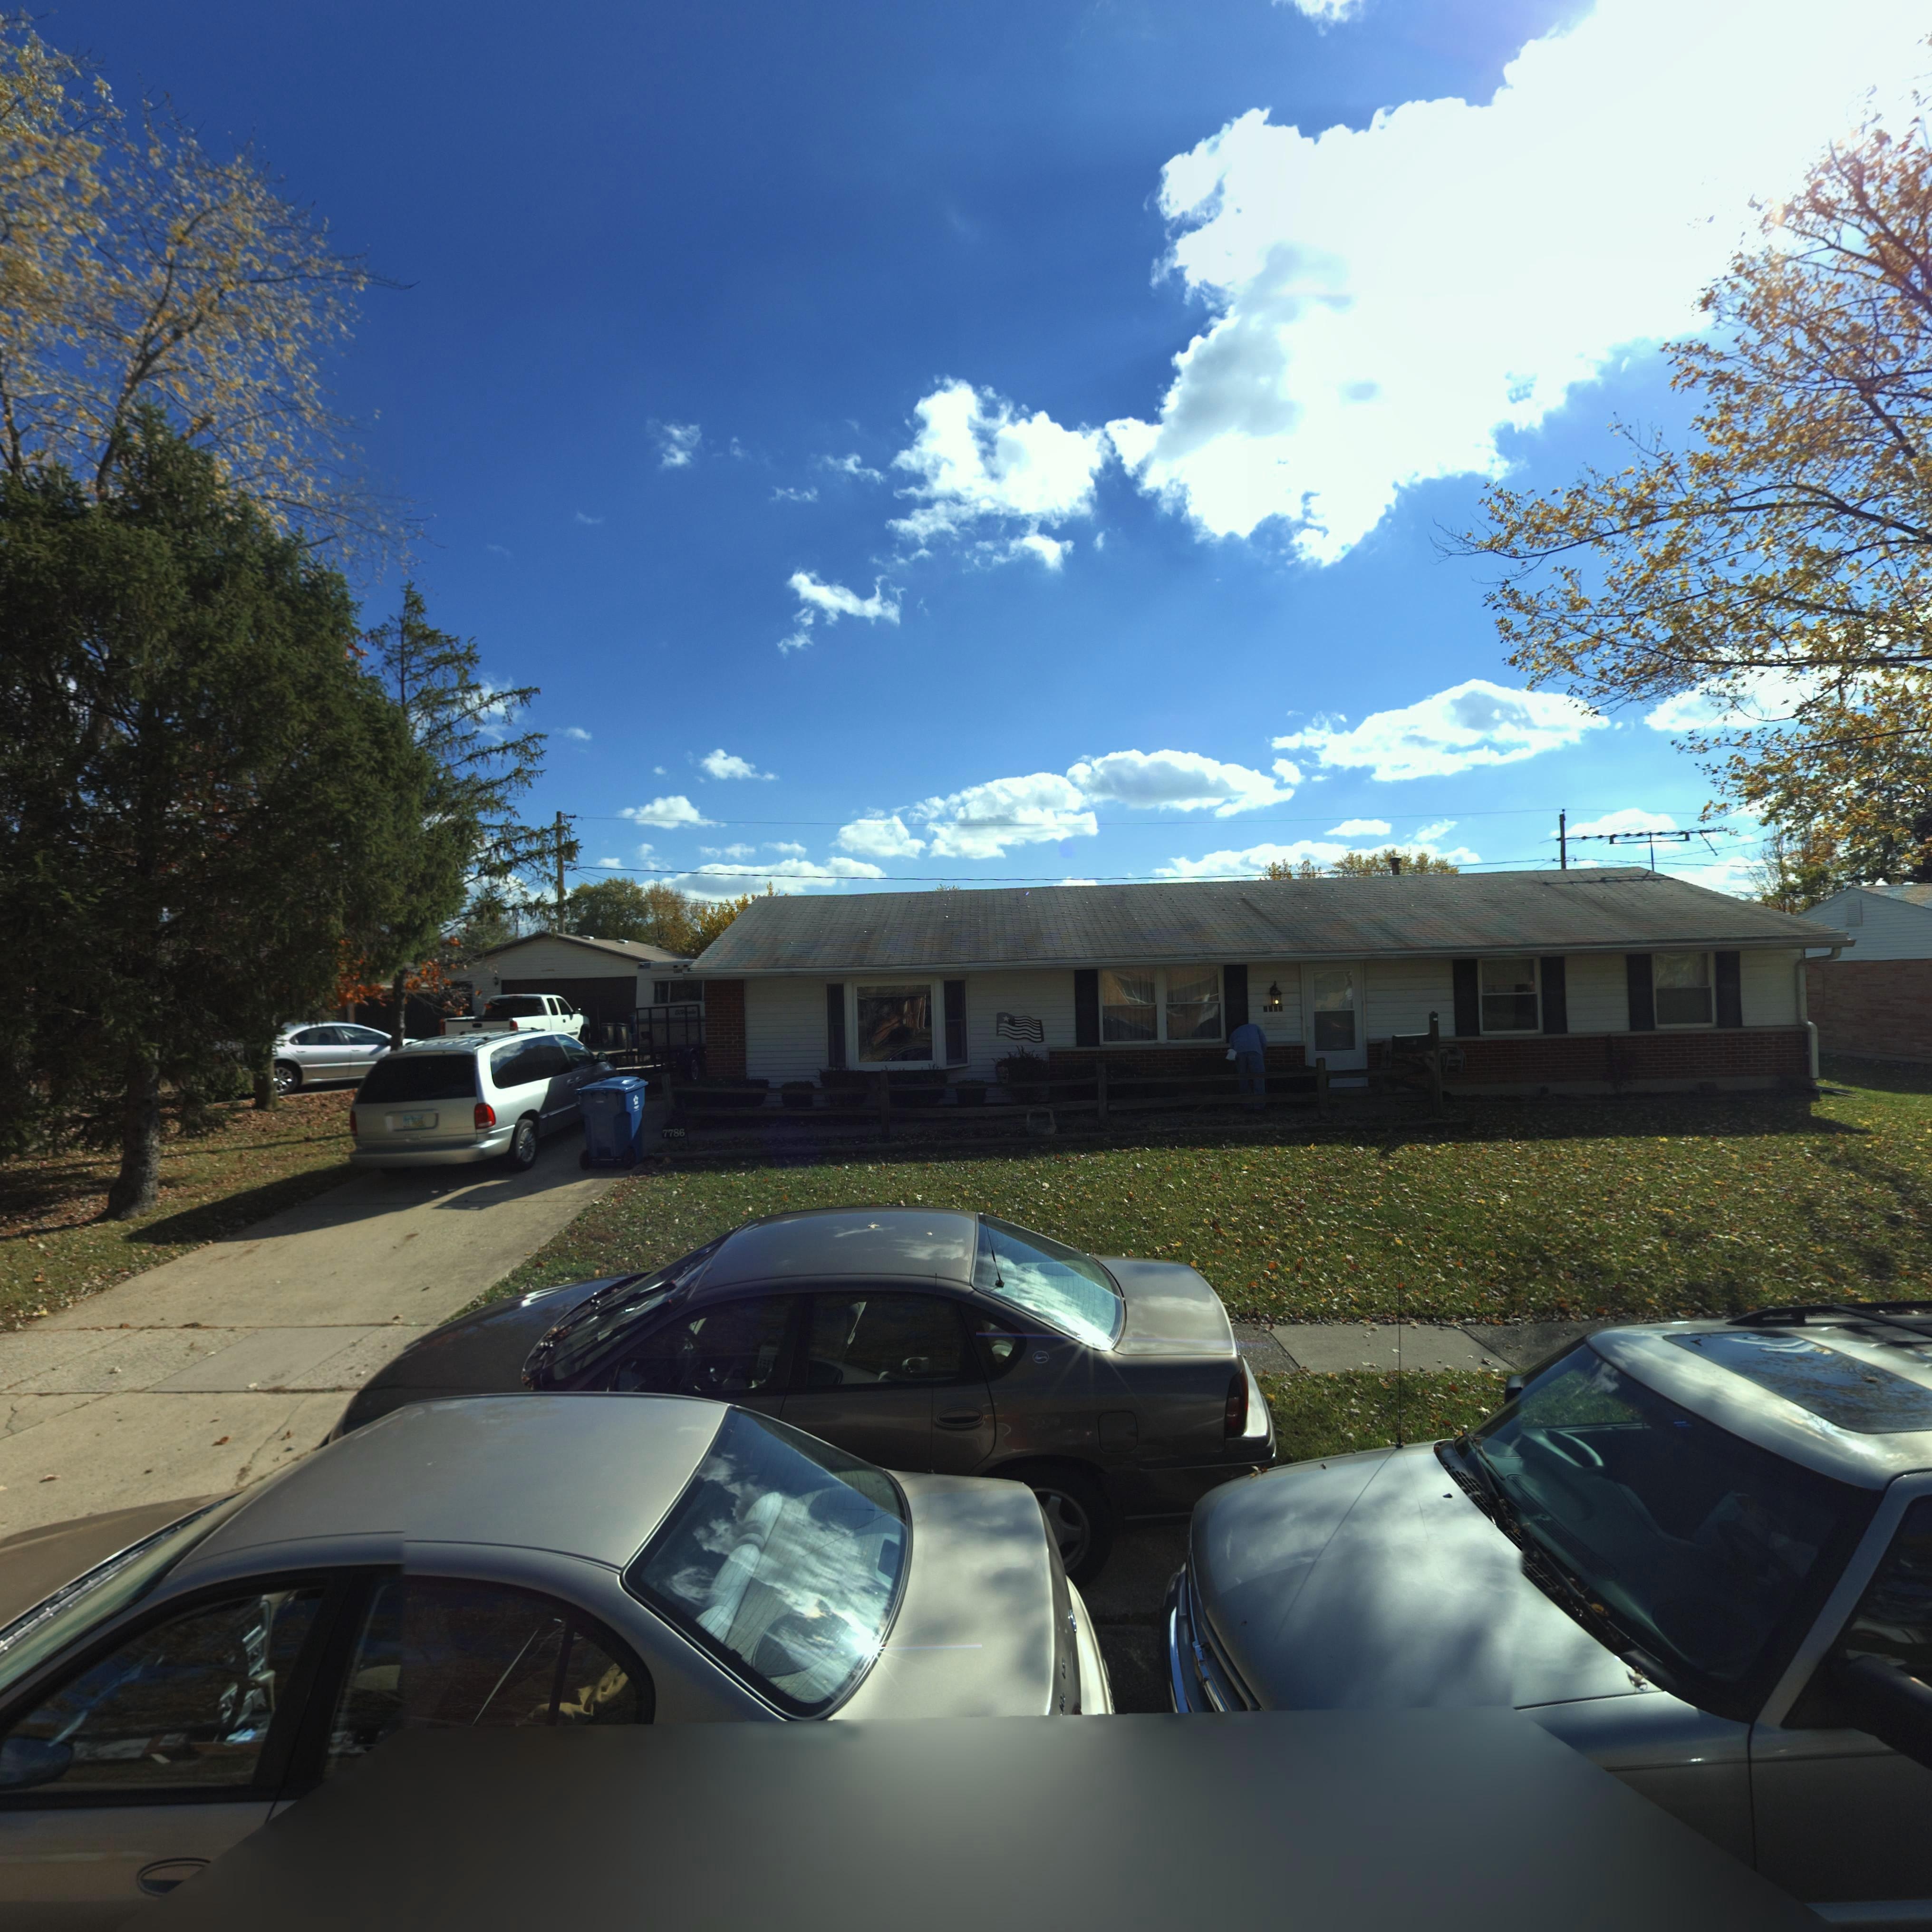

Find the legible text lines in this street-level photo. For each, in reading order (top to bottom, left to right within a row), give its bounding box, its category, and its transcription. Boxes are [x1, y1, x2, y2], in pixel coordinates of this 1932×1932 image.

[1274, 1005, 1283, 1012] StreetNumber: 86
[662, 1128, 686, 1138] StreetNumber: 7786